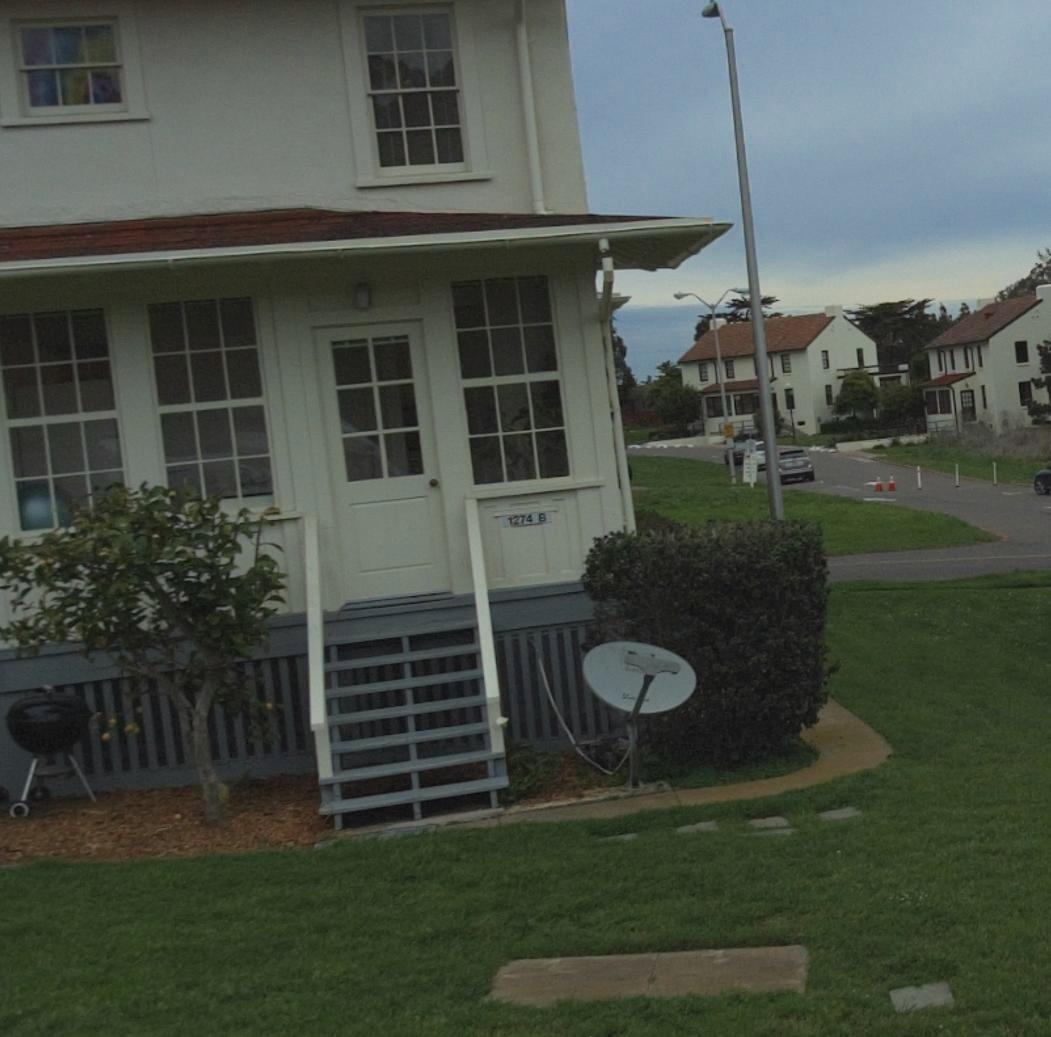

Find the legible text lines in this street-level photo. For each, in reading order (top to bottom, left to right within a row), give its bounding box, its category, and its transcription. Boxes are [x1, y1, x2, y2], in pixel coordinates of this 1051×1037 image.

[507, 511, 551, 527] StreetNumber: 1274 B